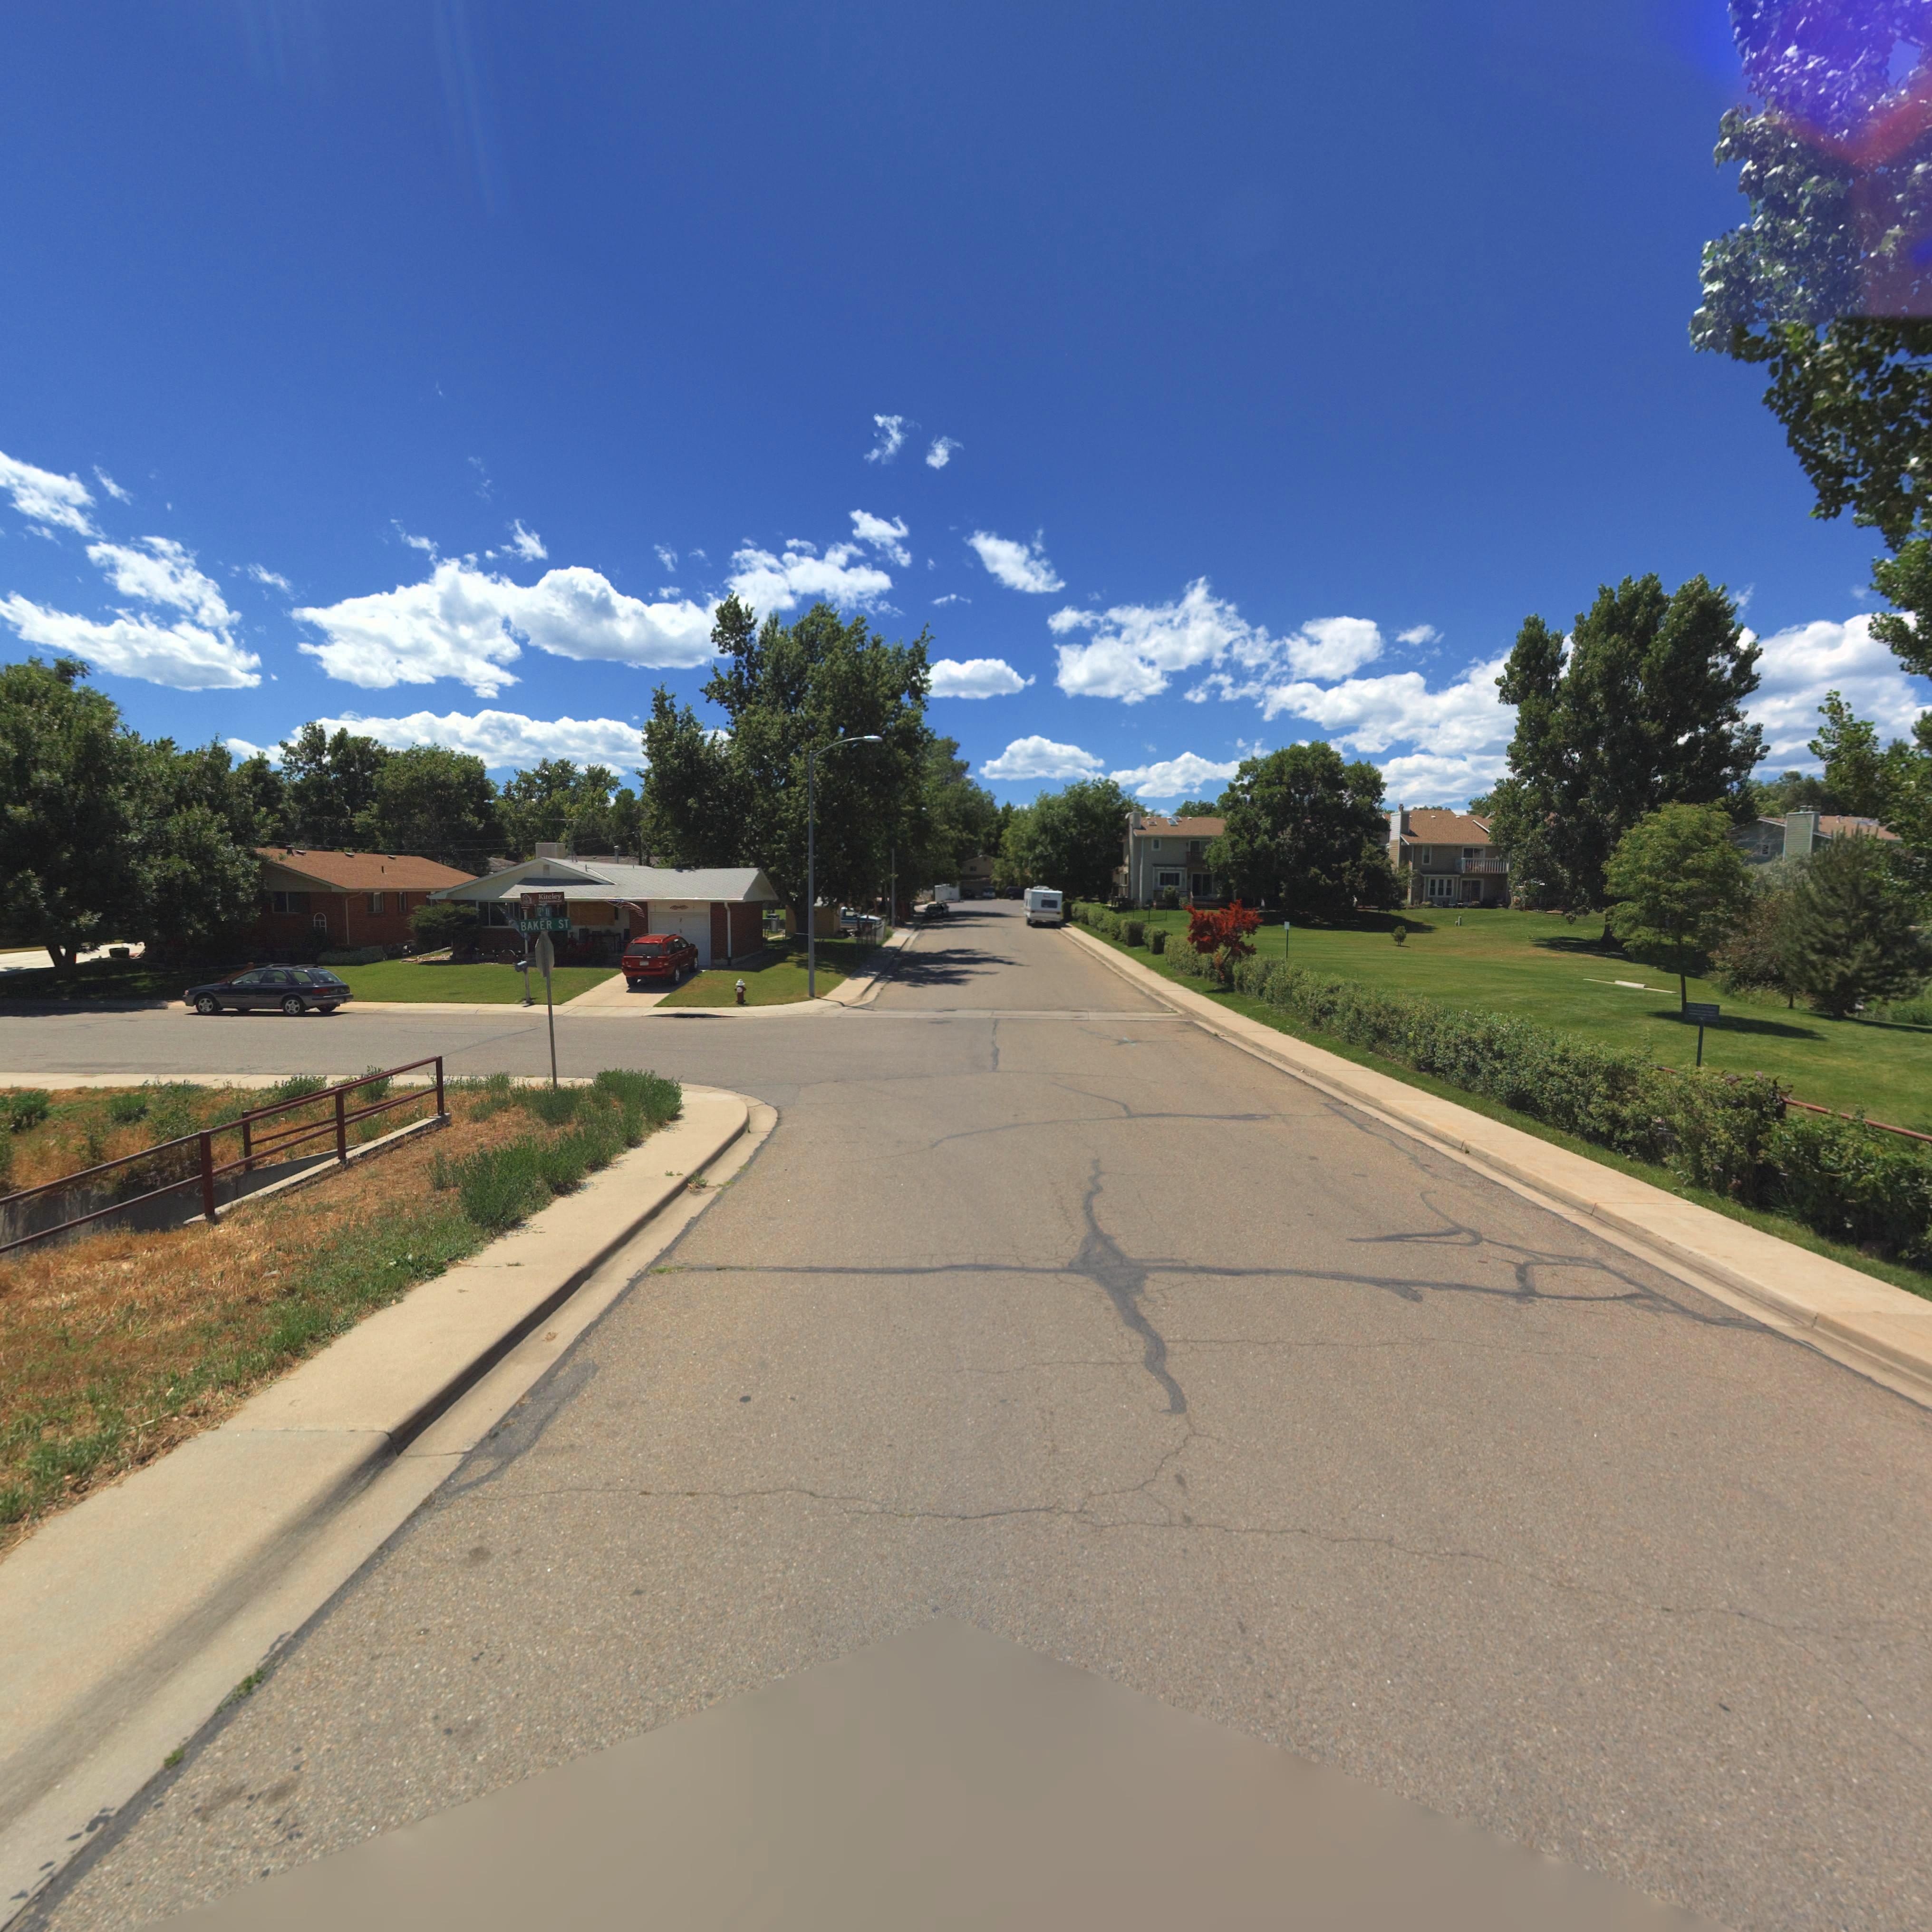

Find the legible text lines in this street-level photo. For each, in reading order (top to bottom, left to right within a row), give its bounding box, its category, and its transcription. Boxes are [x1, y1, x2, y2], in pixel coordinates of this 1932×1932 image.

[536, 907, 550, 917] StreetName: 12TH AV
[521, 919, 568, 931] StreetName: BAKER ST